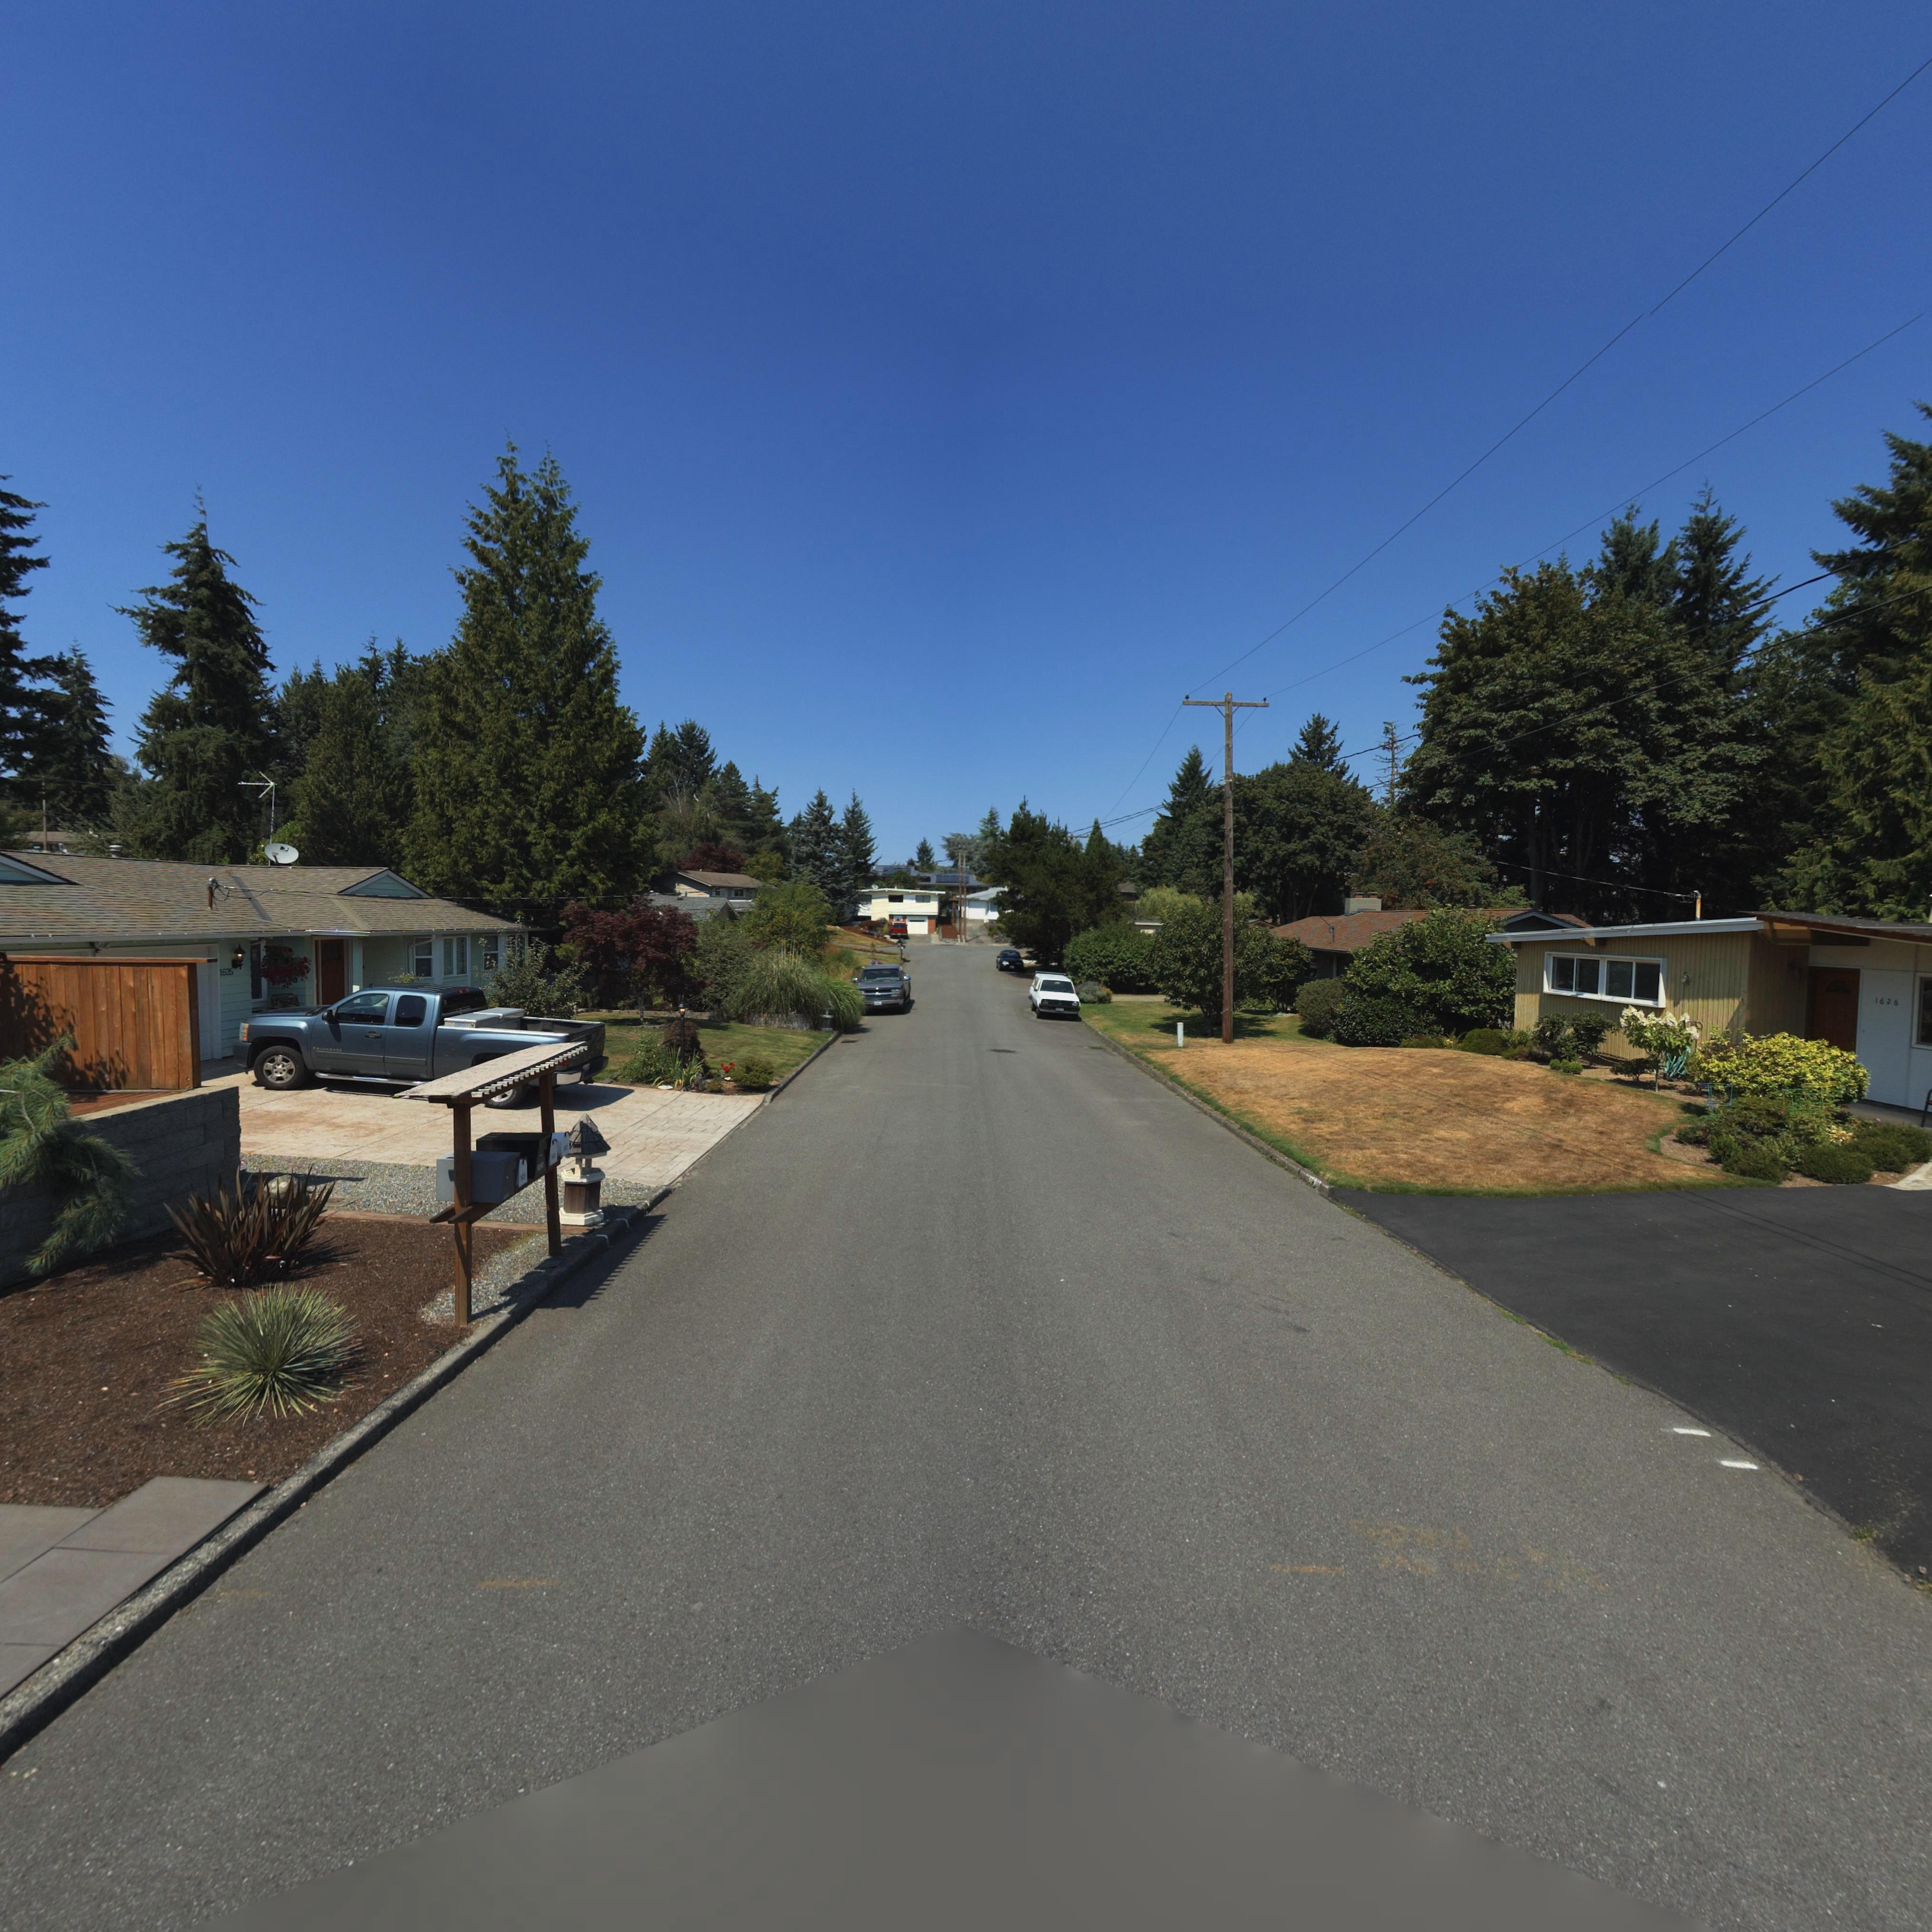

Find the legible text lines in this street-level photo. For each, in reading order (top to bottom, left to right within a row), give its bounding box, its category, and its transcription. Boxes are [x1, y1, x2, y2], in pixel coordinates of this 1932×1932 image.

[1875, 996, 1900, 1006] StreetNumber: 1626